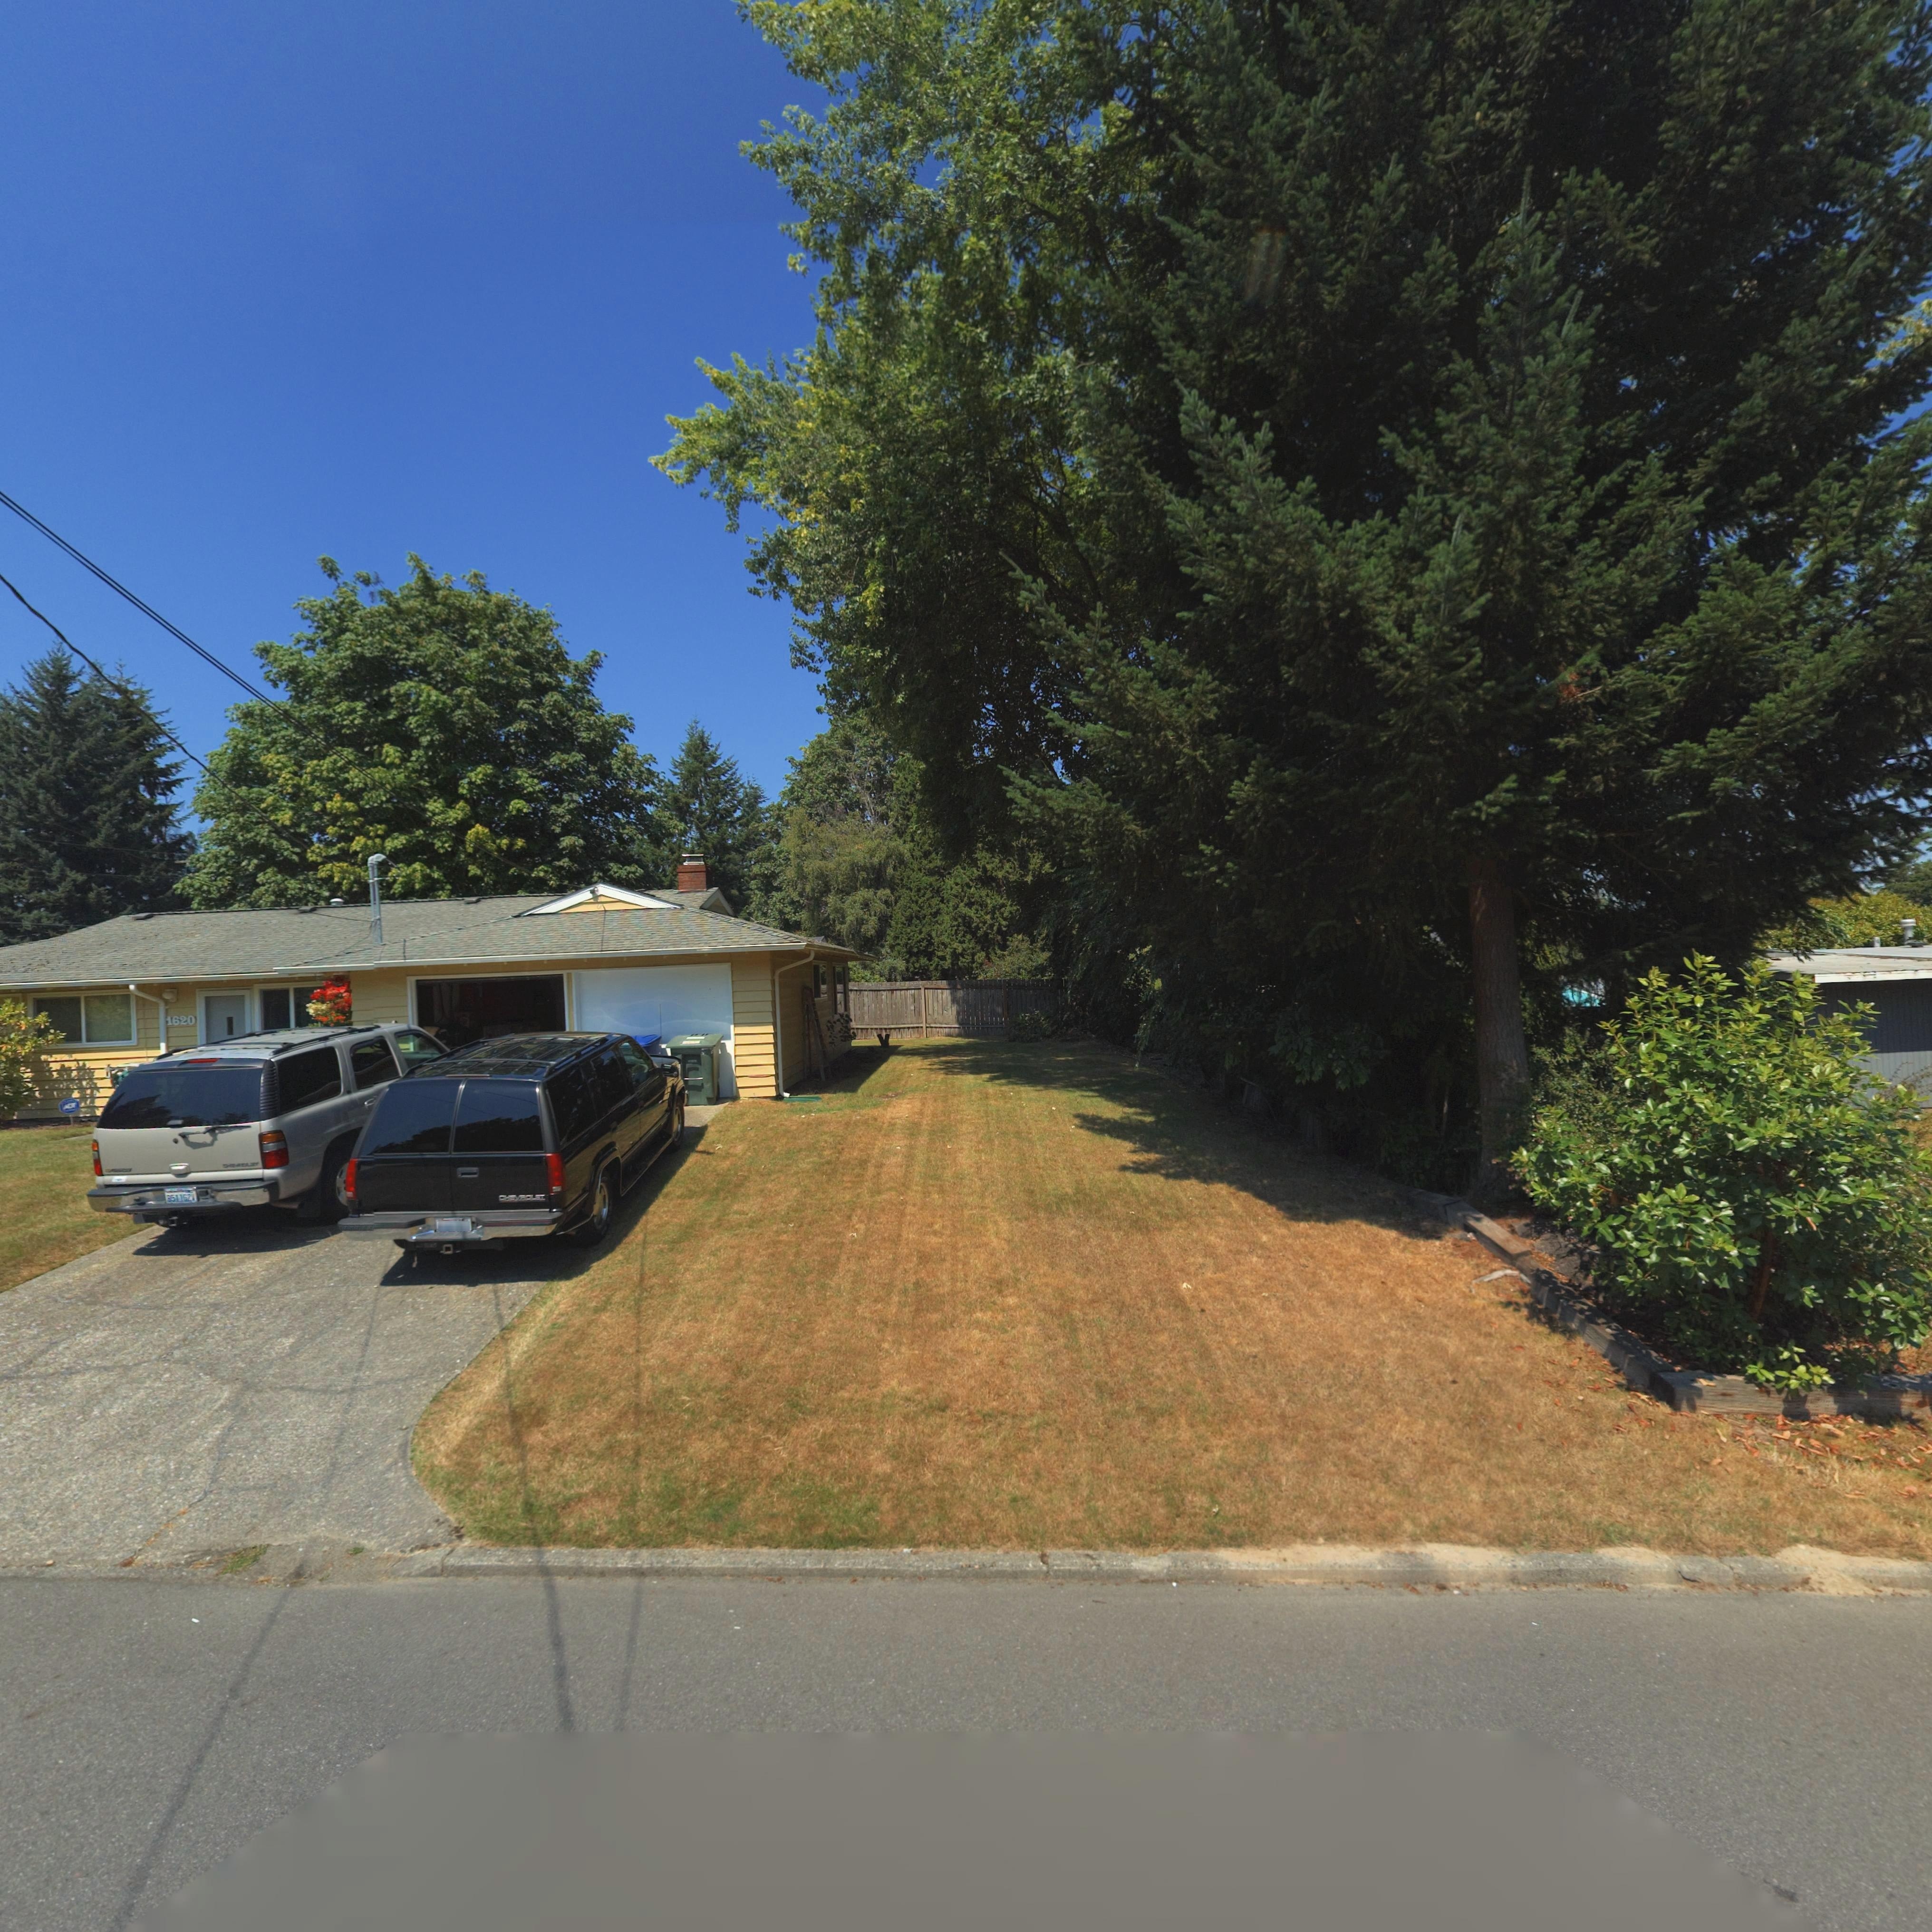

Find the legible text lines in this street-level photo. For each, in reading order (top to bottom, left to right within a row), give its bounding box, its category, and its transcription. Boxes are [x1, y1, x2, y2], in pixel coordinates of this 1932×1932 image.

[165, 1014, 196, 1026] StreetNumber: 1620